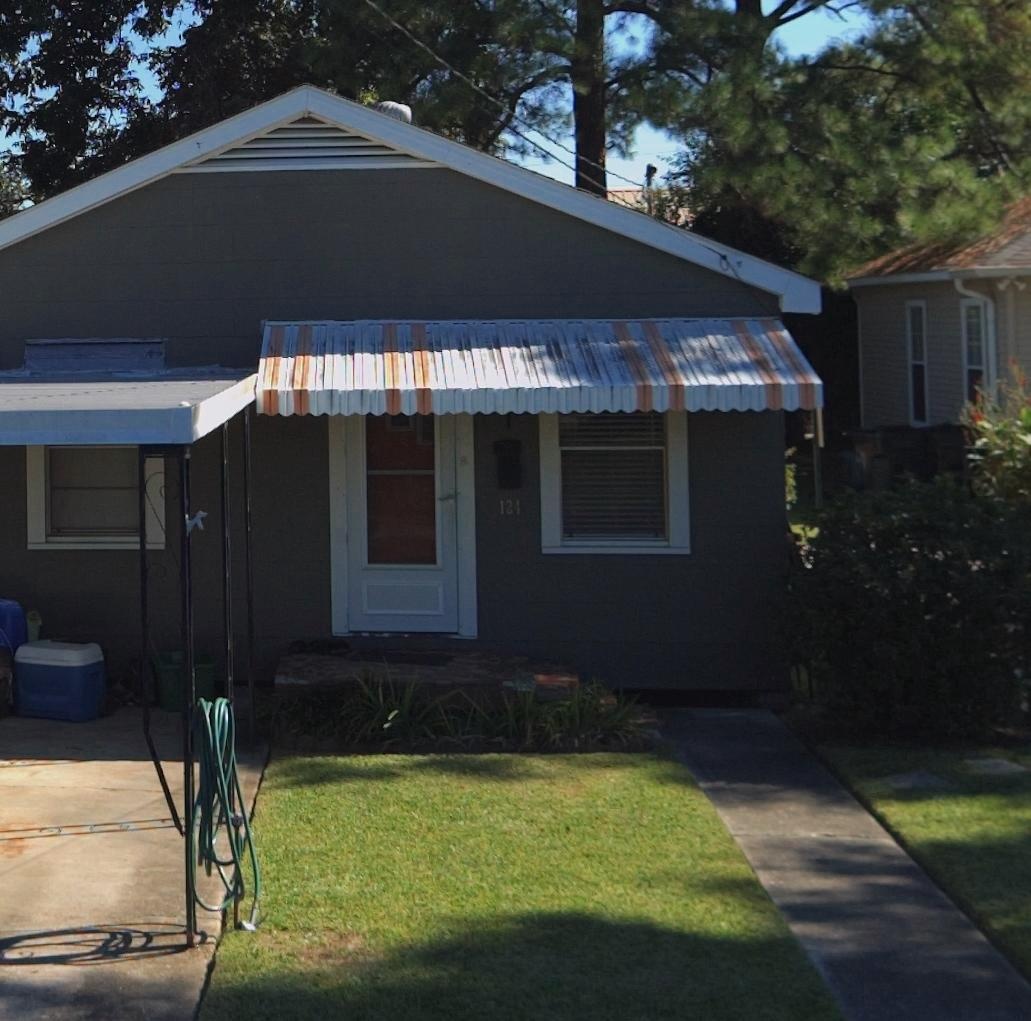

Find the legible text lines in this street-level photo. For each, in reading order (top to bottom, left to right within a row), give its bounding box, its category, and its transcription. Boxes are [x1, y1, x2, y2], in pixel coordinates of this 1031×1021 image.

[499, 499, 521, 516] StreetNumber: 124